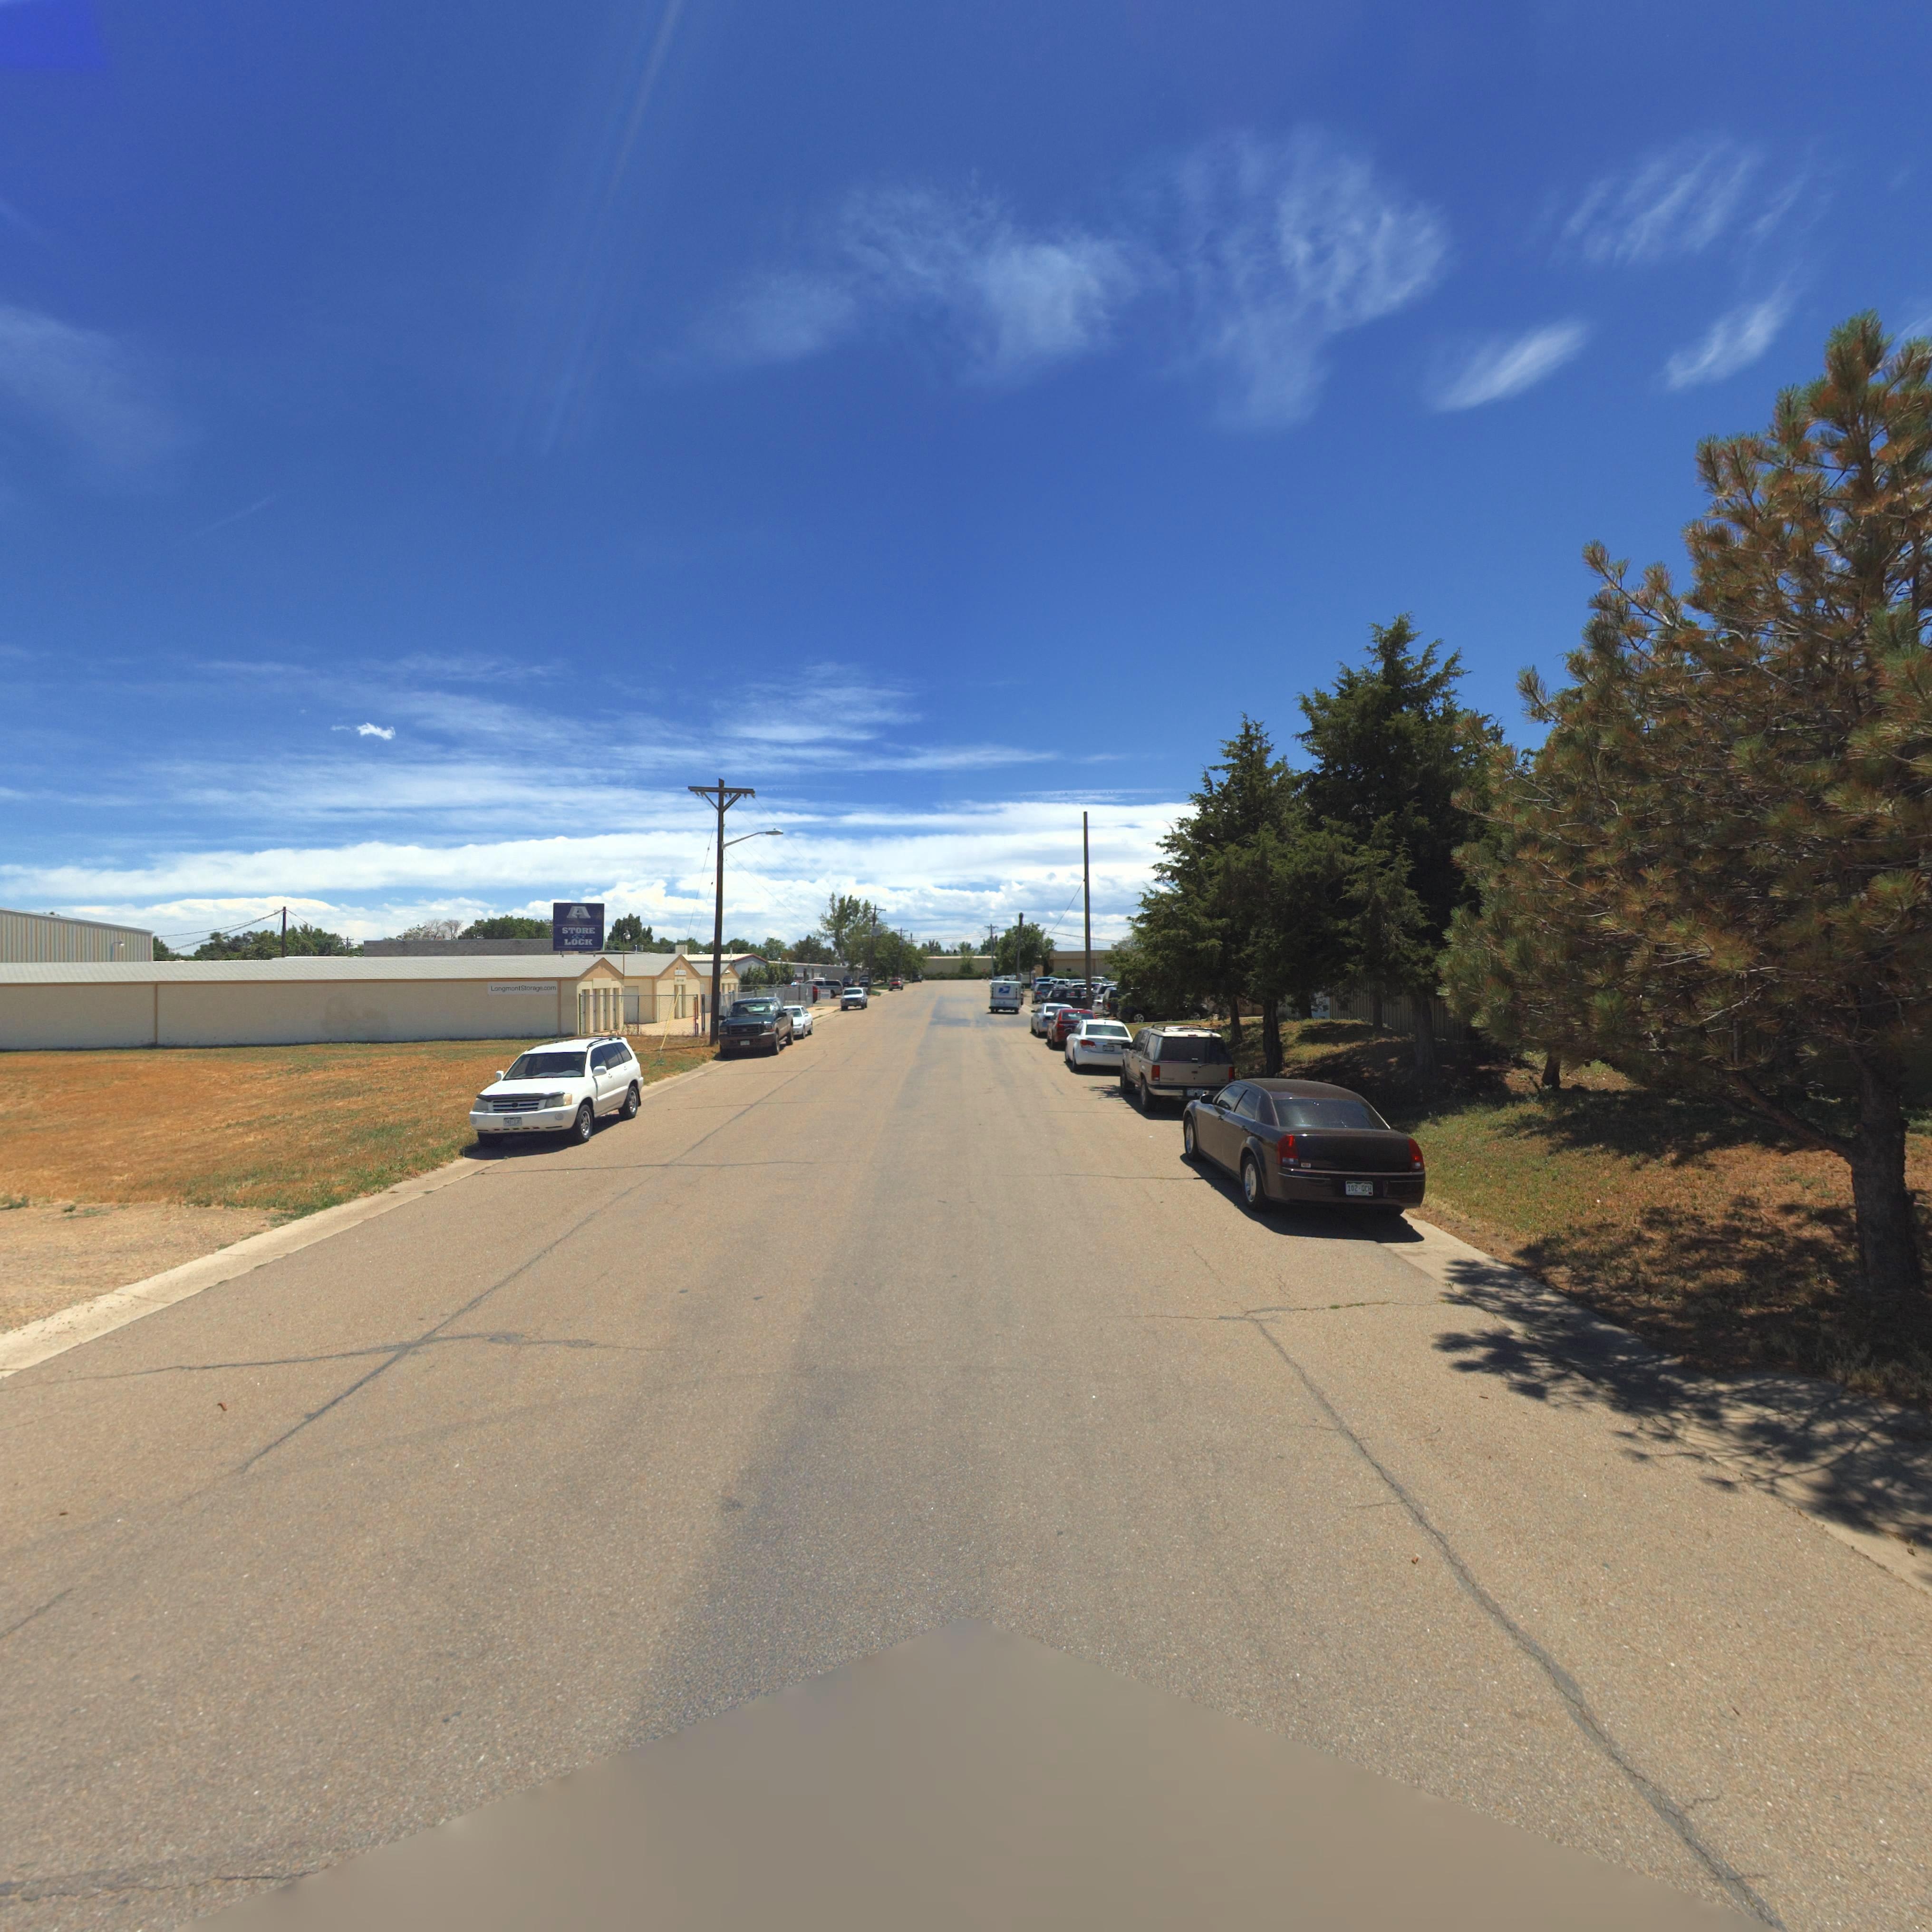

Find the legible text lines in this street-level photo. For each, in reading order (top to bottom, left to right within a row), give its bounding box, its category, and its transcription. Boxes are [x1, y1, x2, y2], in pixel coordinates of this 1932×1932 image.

[566, 906, 591, 918] BusinessName: A
[561, 927, 596, 934] BusinessName: STORE
[571, 934, 586, 939] BusinessName: &
[564, 938, 592, 945] BusinessName: LOCK